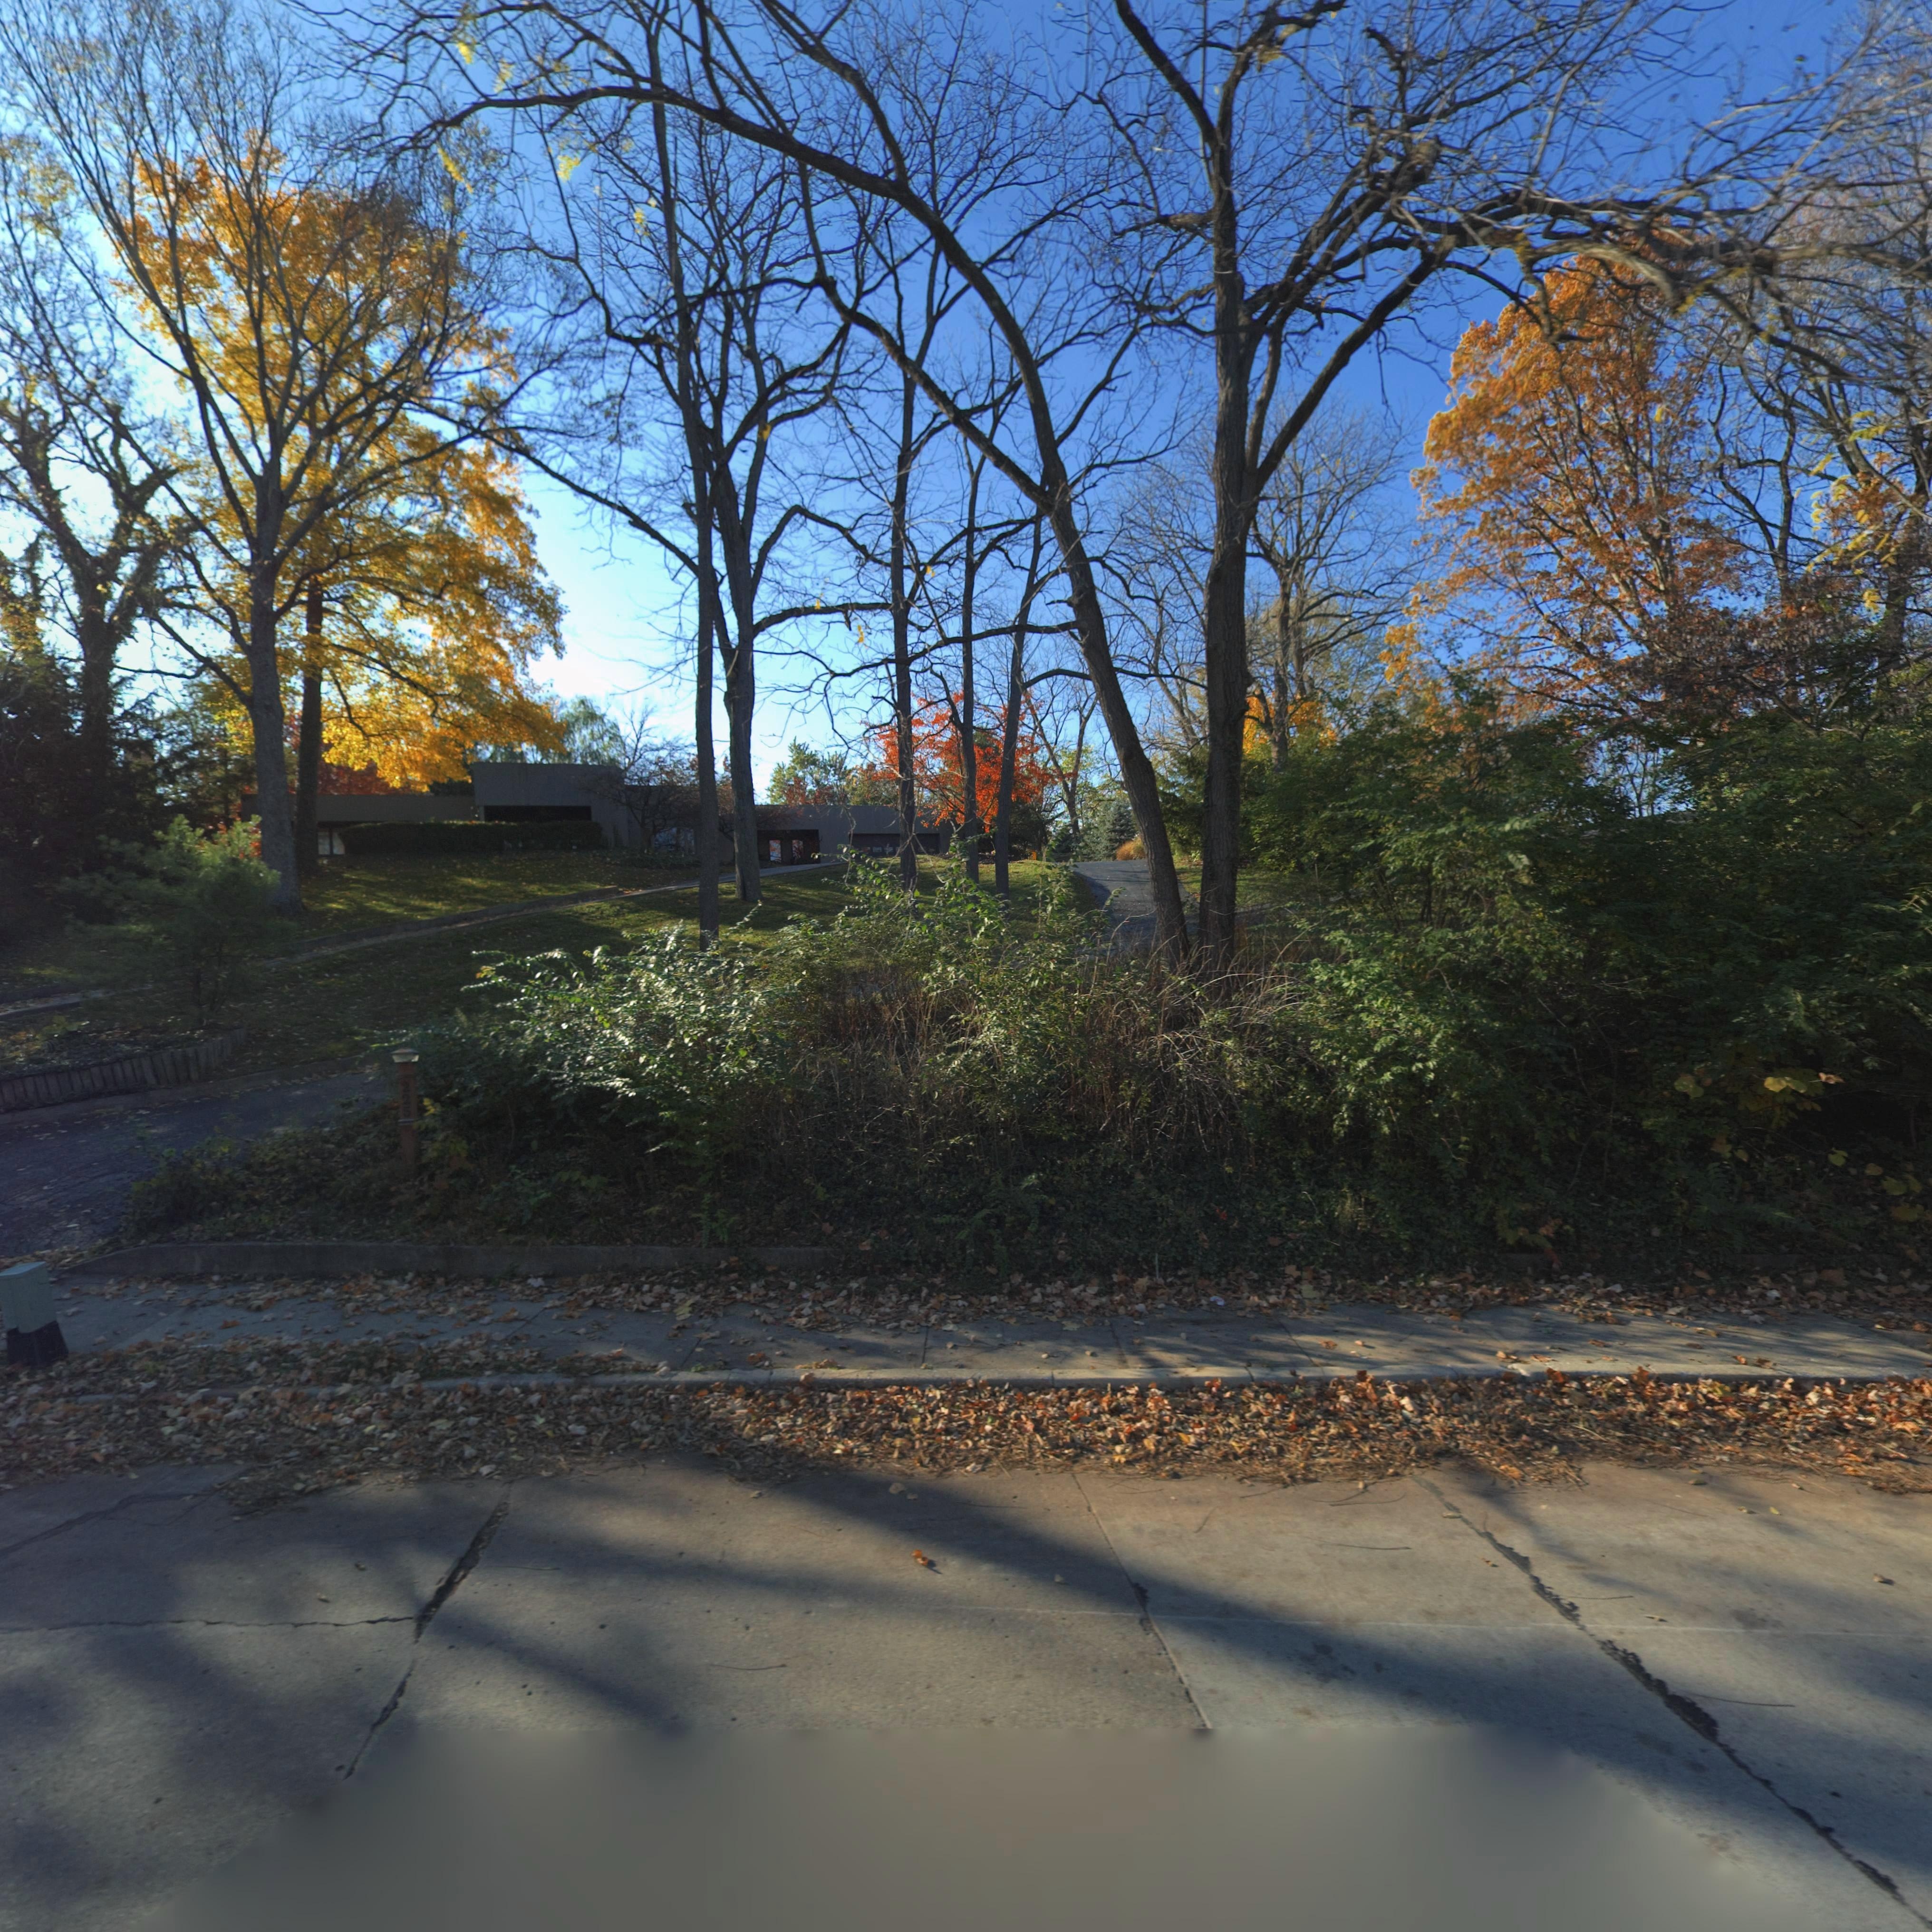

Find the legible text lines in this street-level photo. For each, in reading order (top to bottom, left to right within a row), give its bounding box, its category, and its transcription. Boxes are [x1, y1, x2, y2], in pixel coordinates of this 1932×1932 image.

[400, 1080, 412, 1118] StreetNumber: 225